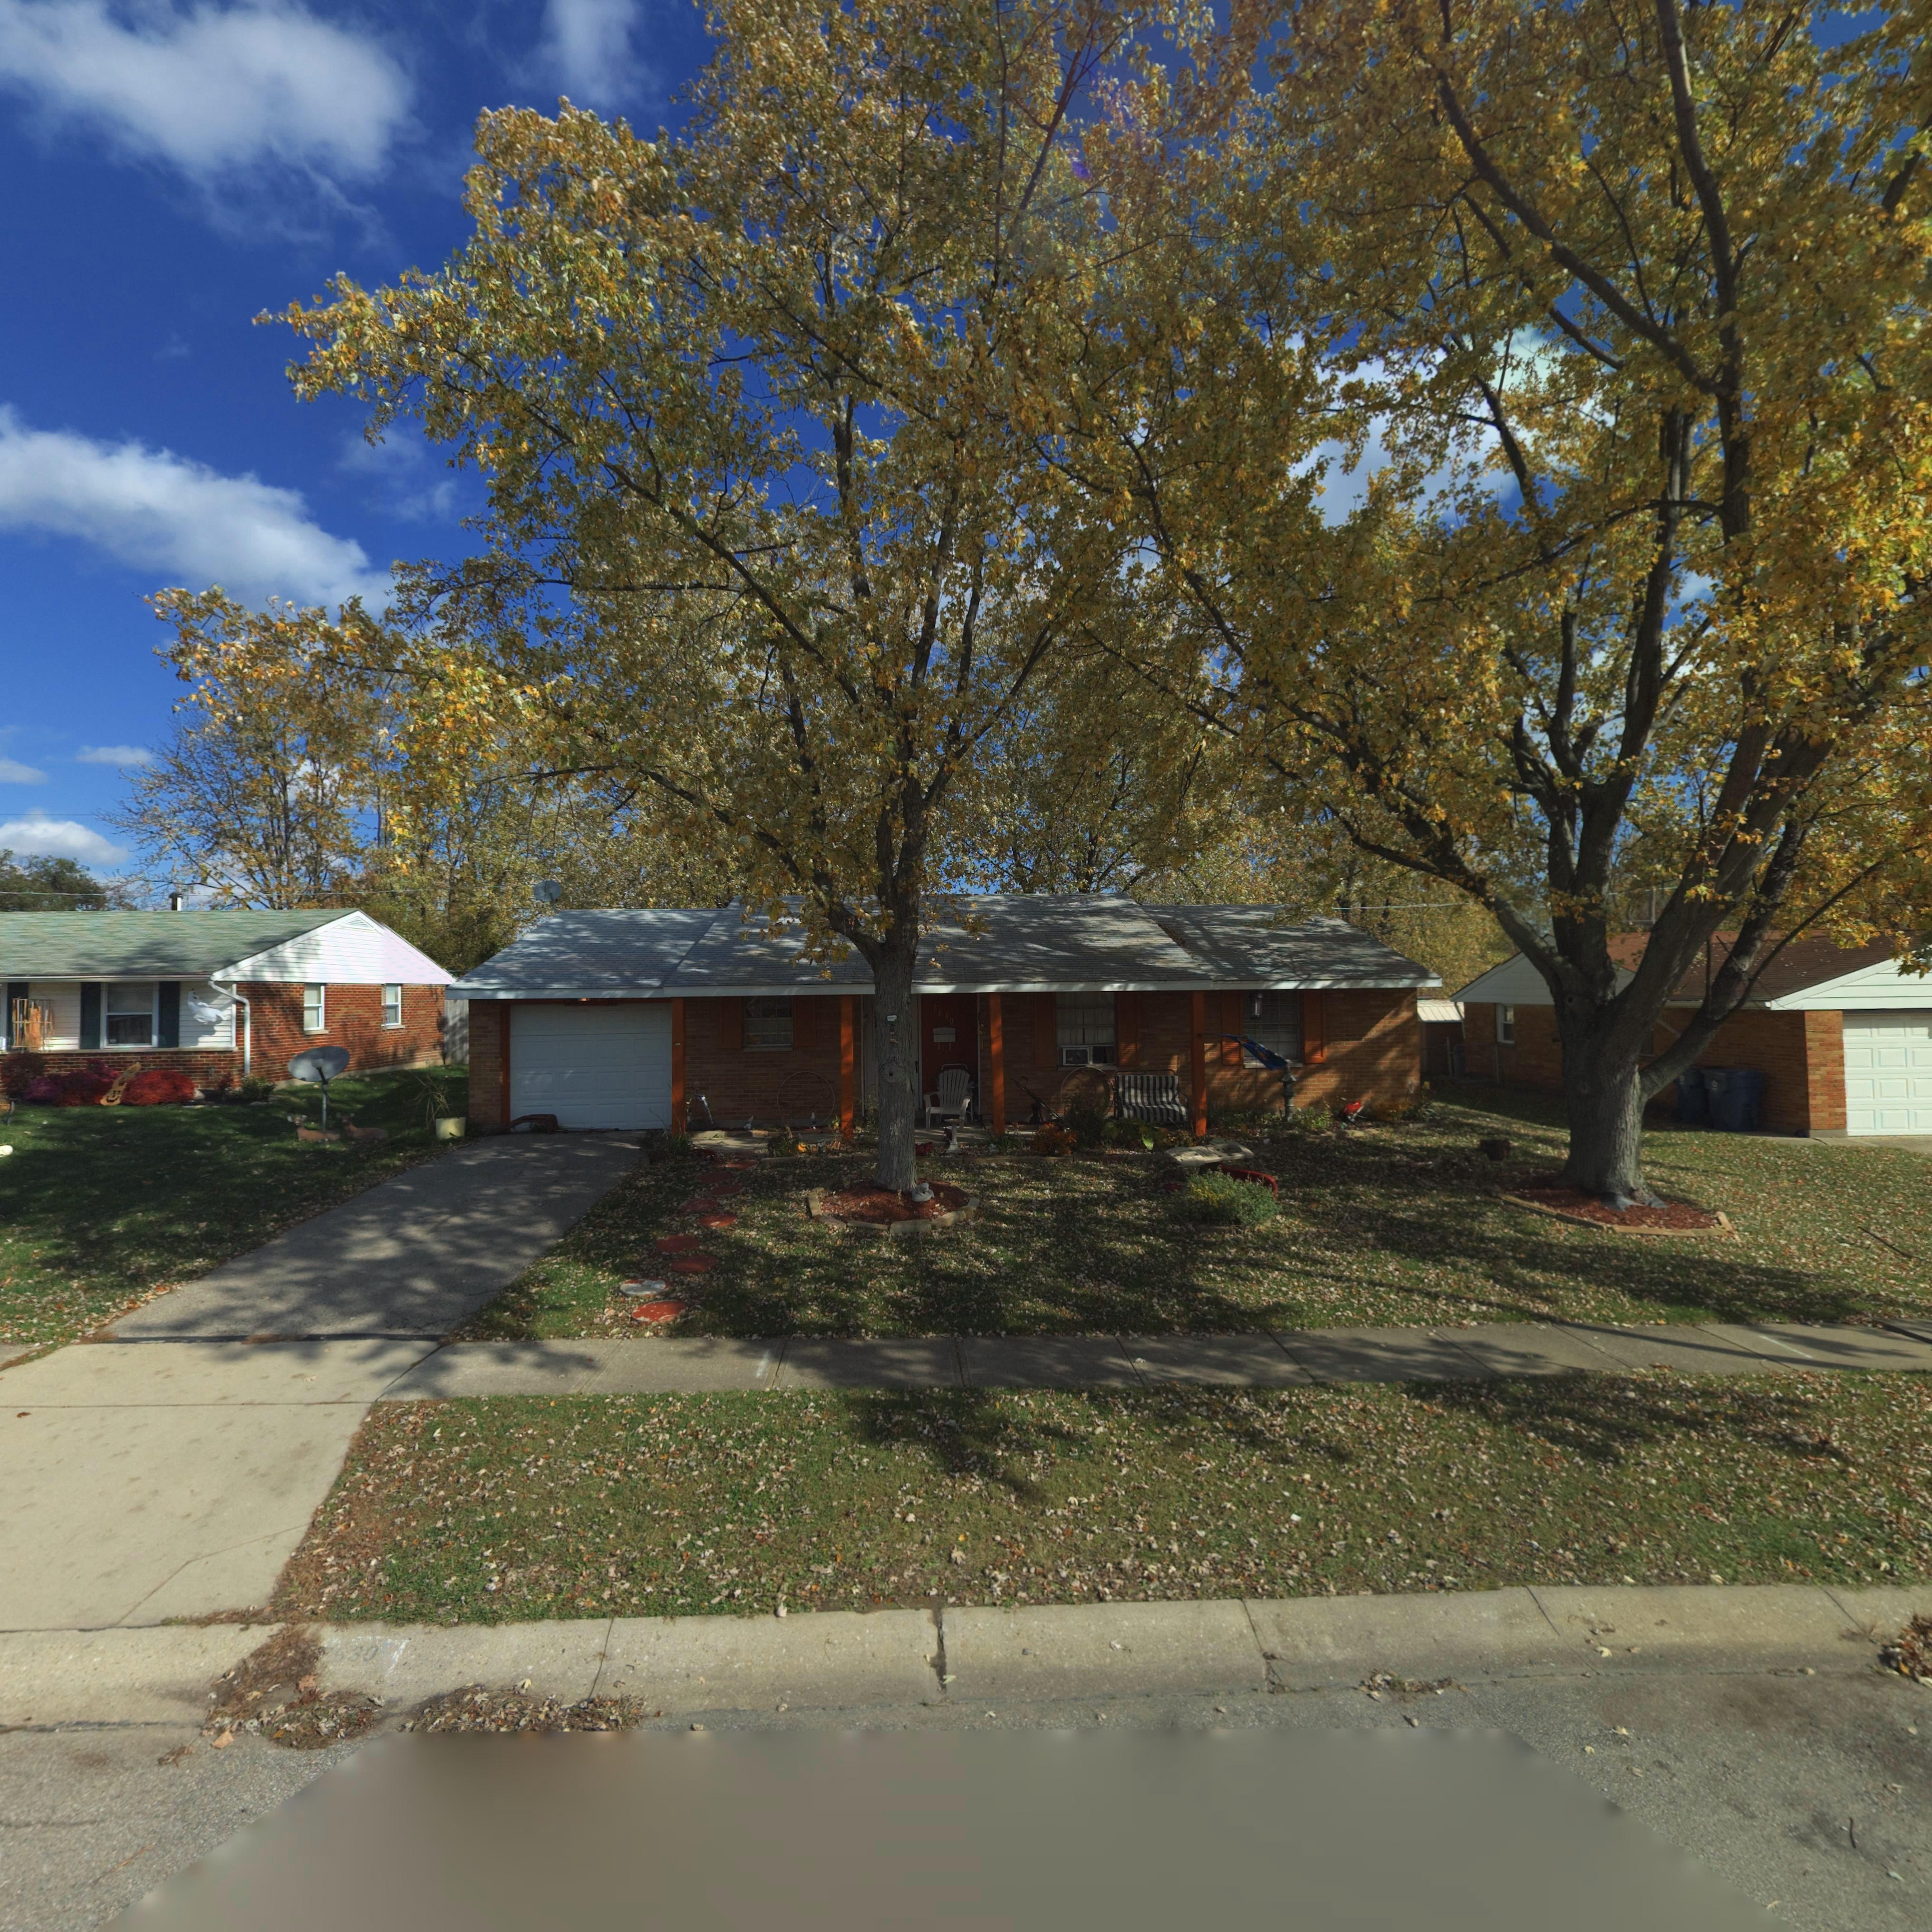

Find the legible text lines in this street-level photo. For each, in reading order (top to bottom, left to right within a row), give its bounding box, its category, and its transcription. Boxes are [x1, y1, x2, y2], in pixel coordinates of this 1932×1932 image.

[932, 1005, 954, 1025] StreetNumber: 7630
[330, 1644, 380, 1664] StreetNumber: 630